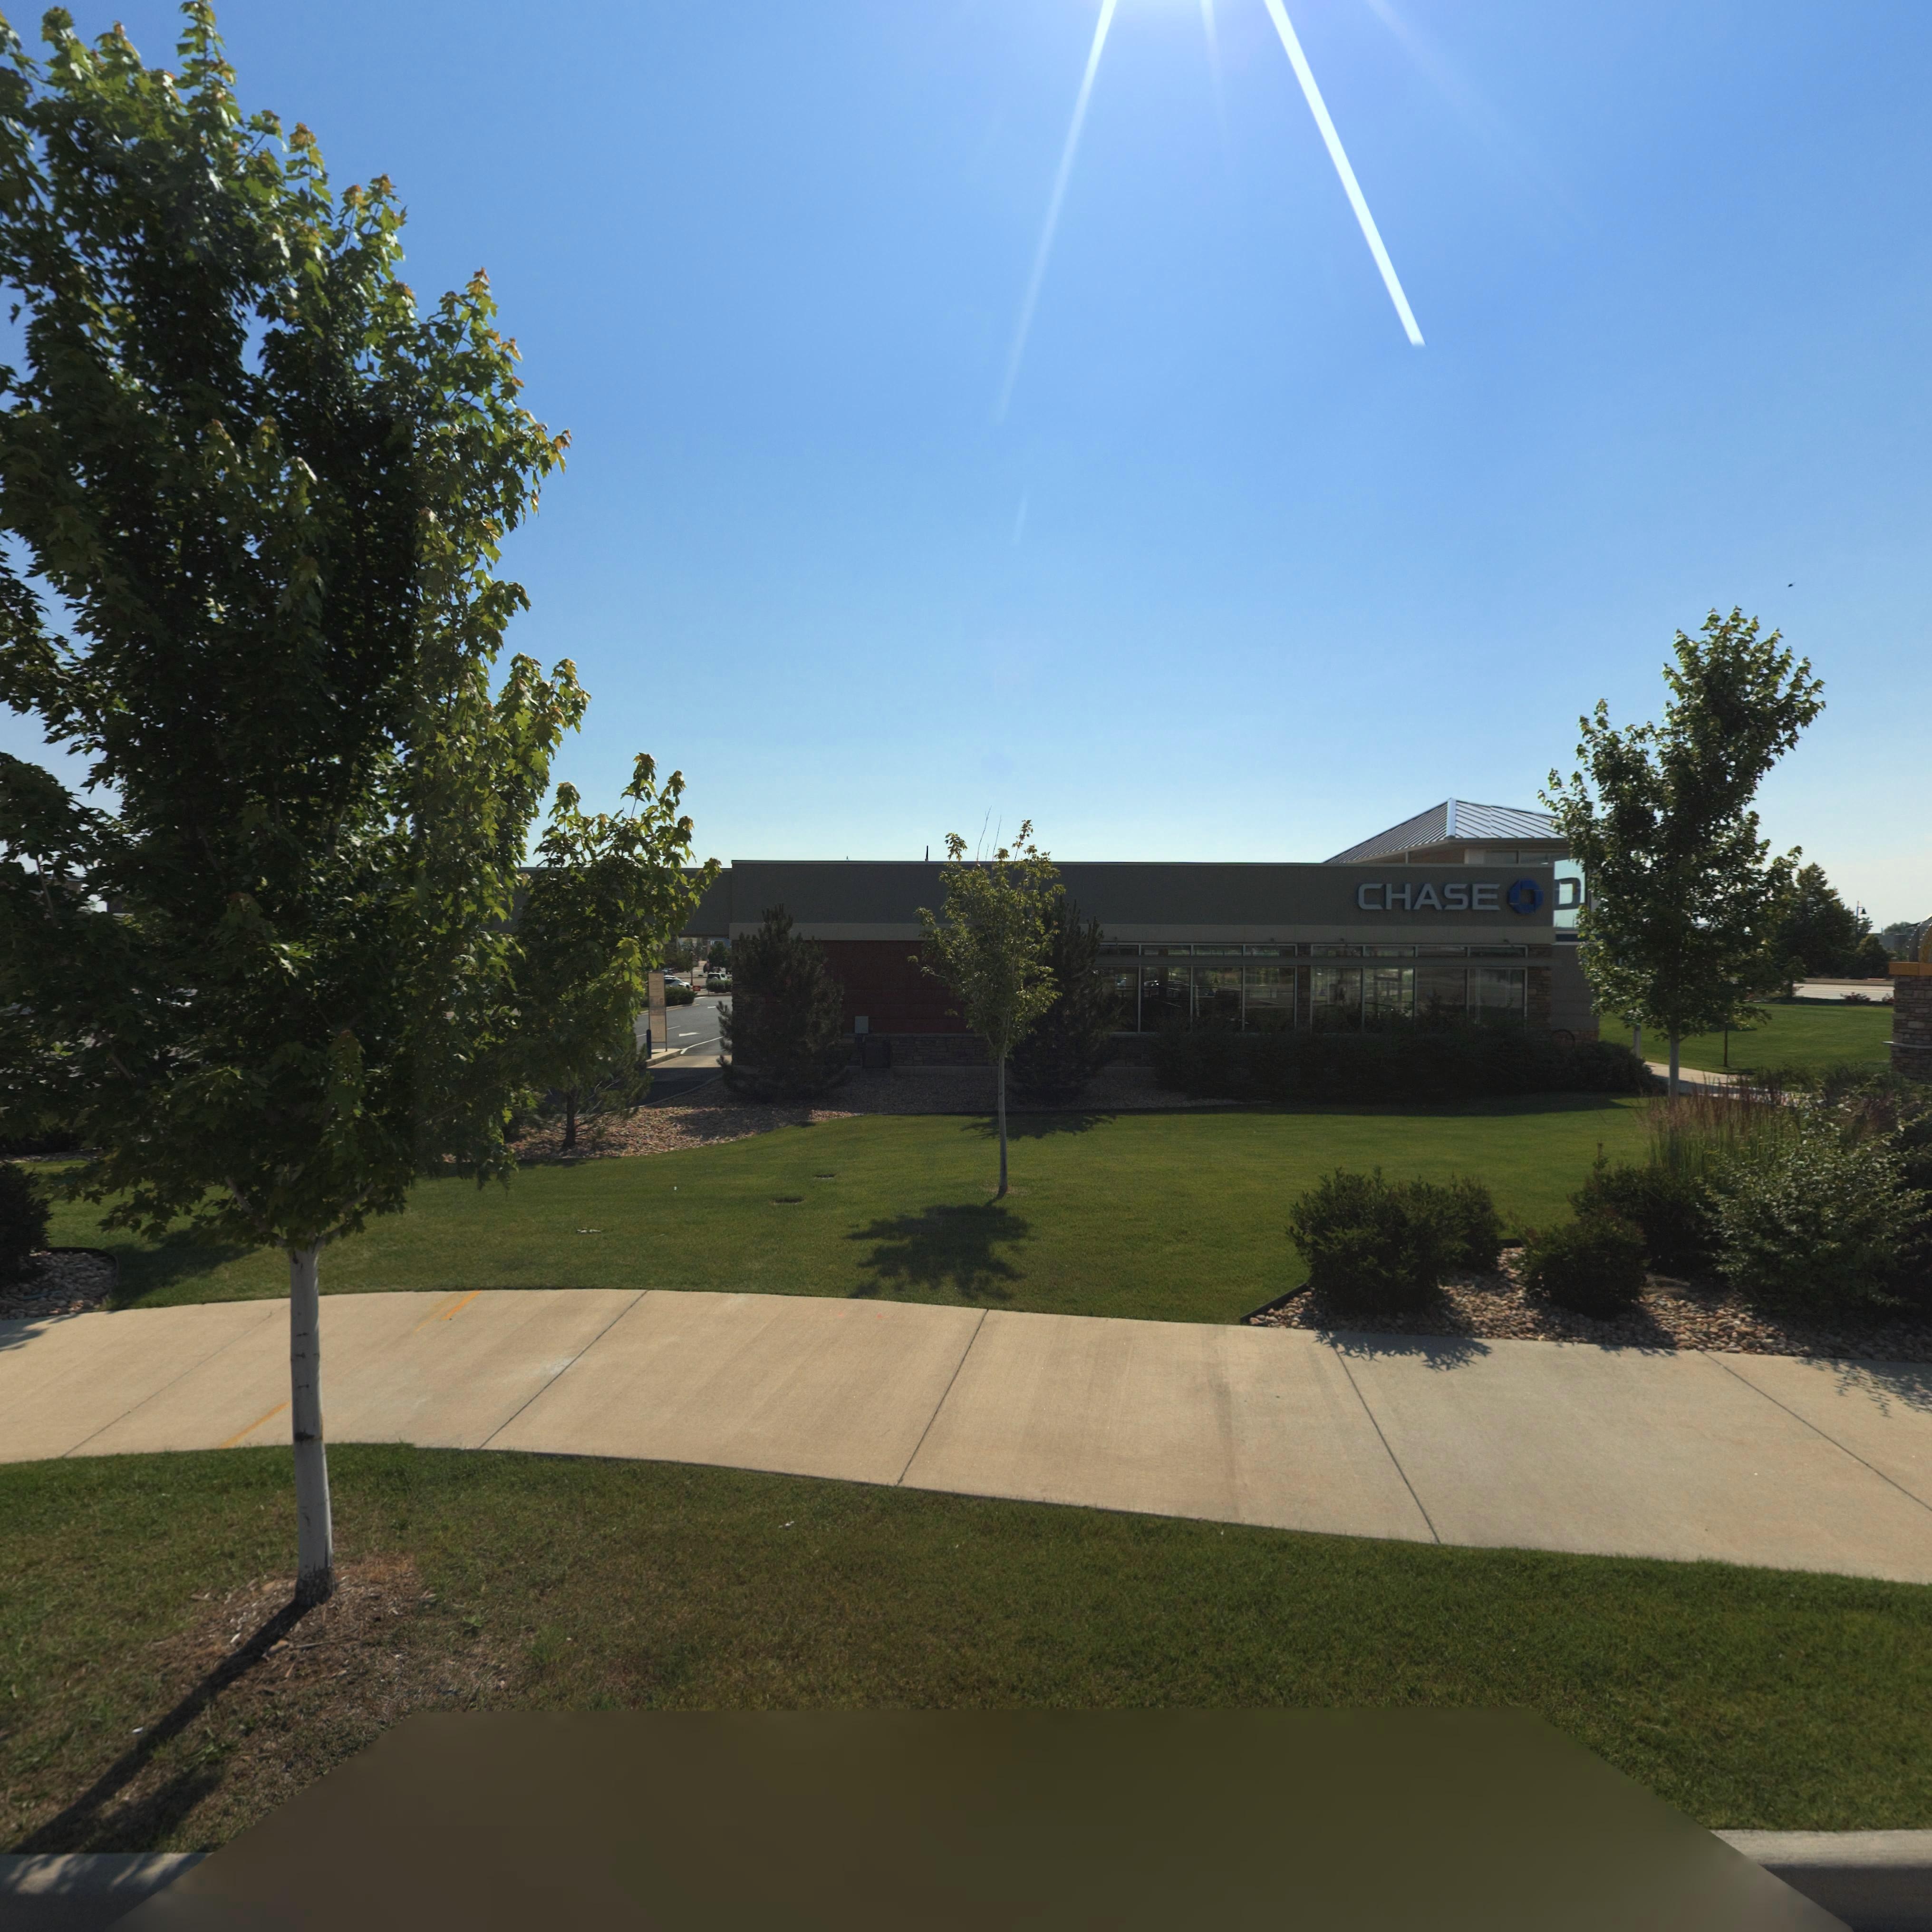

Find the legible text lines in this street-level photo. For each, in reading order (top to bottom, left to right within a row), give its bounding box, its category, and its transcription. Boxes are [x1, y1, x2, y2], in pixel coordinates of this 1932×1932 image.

[1359, 883, 1500, 910] BusinessName: CHASE